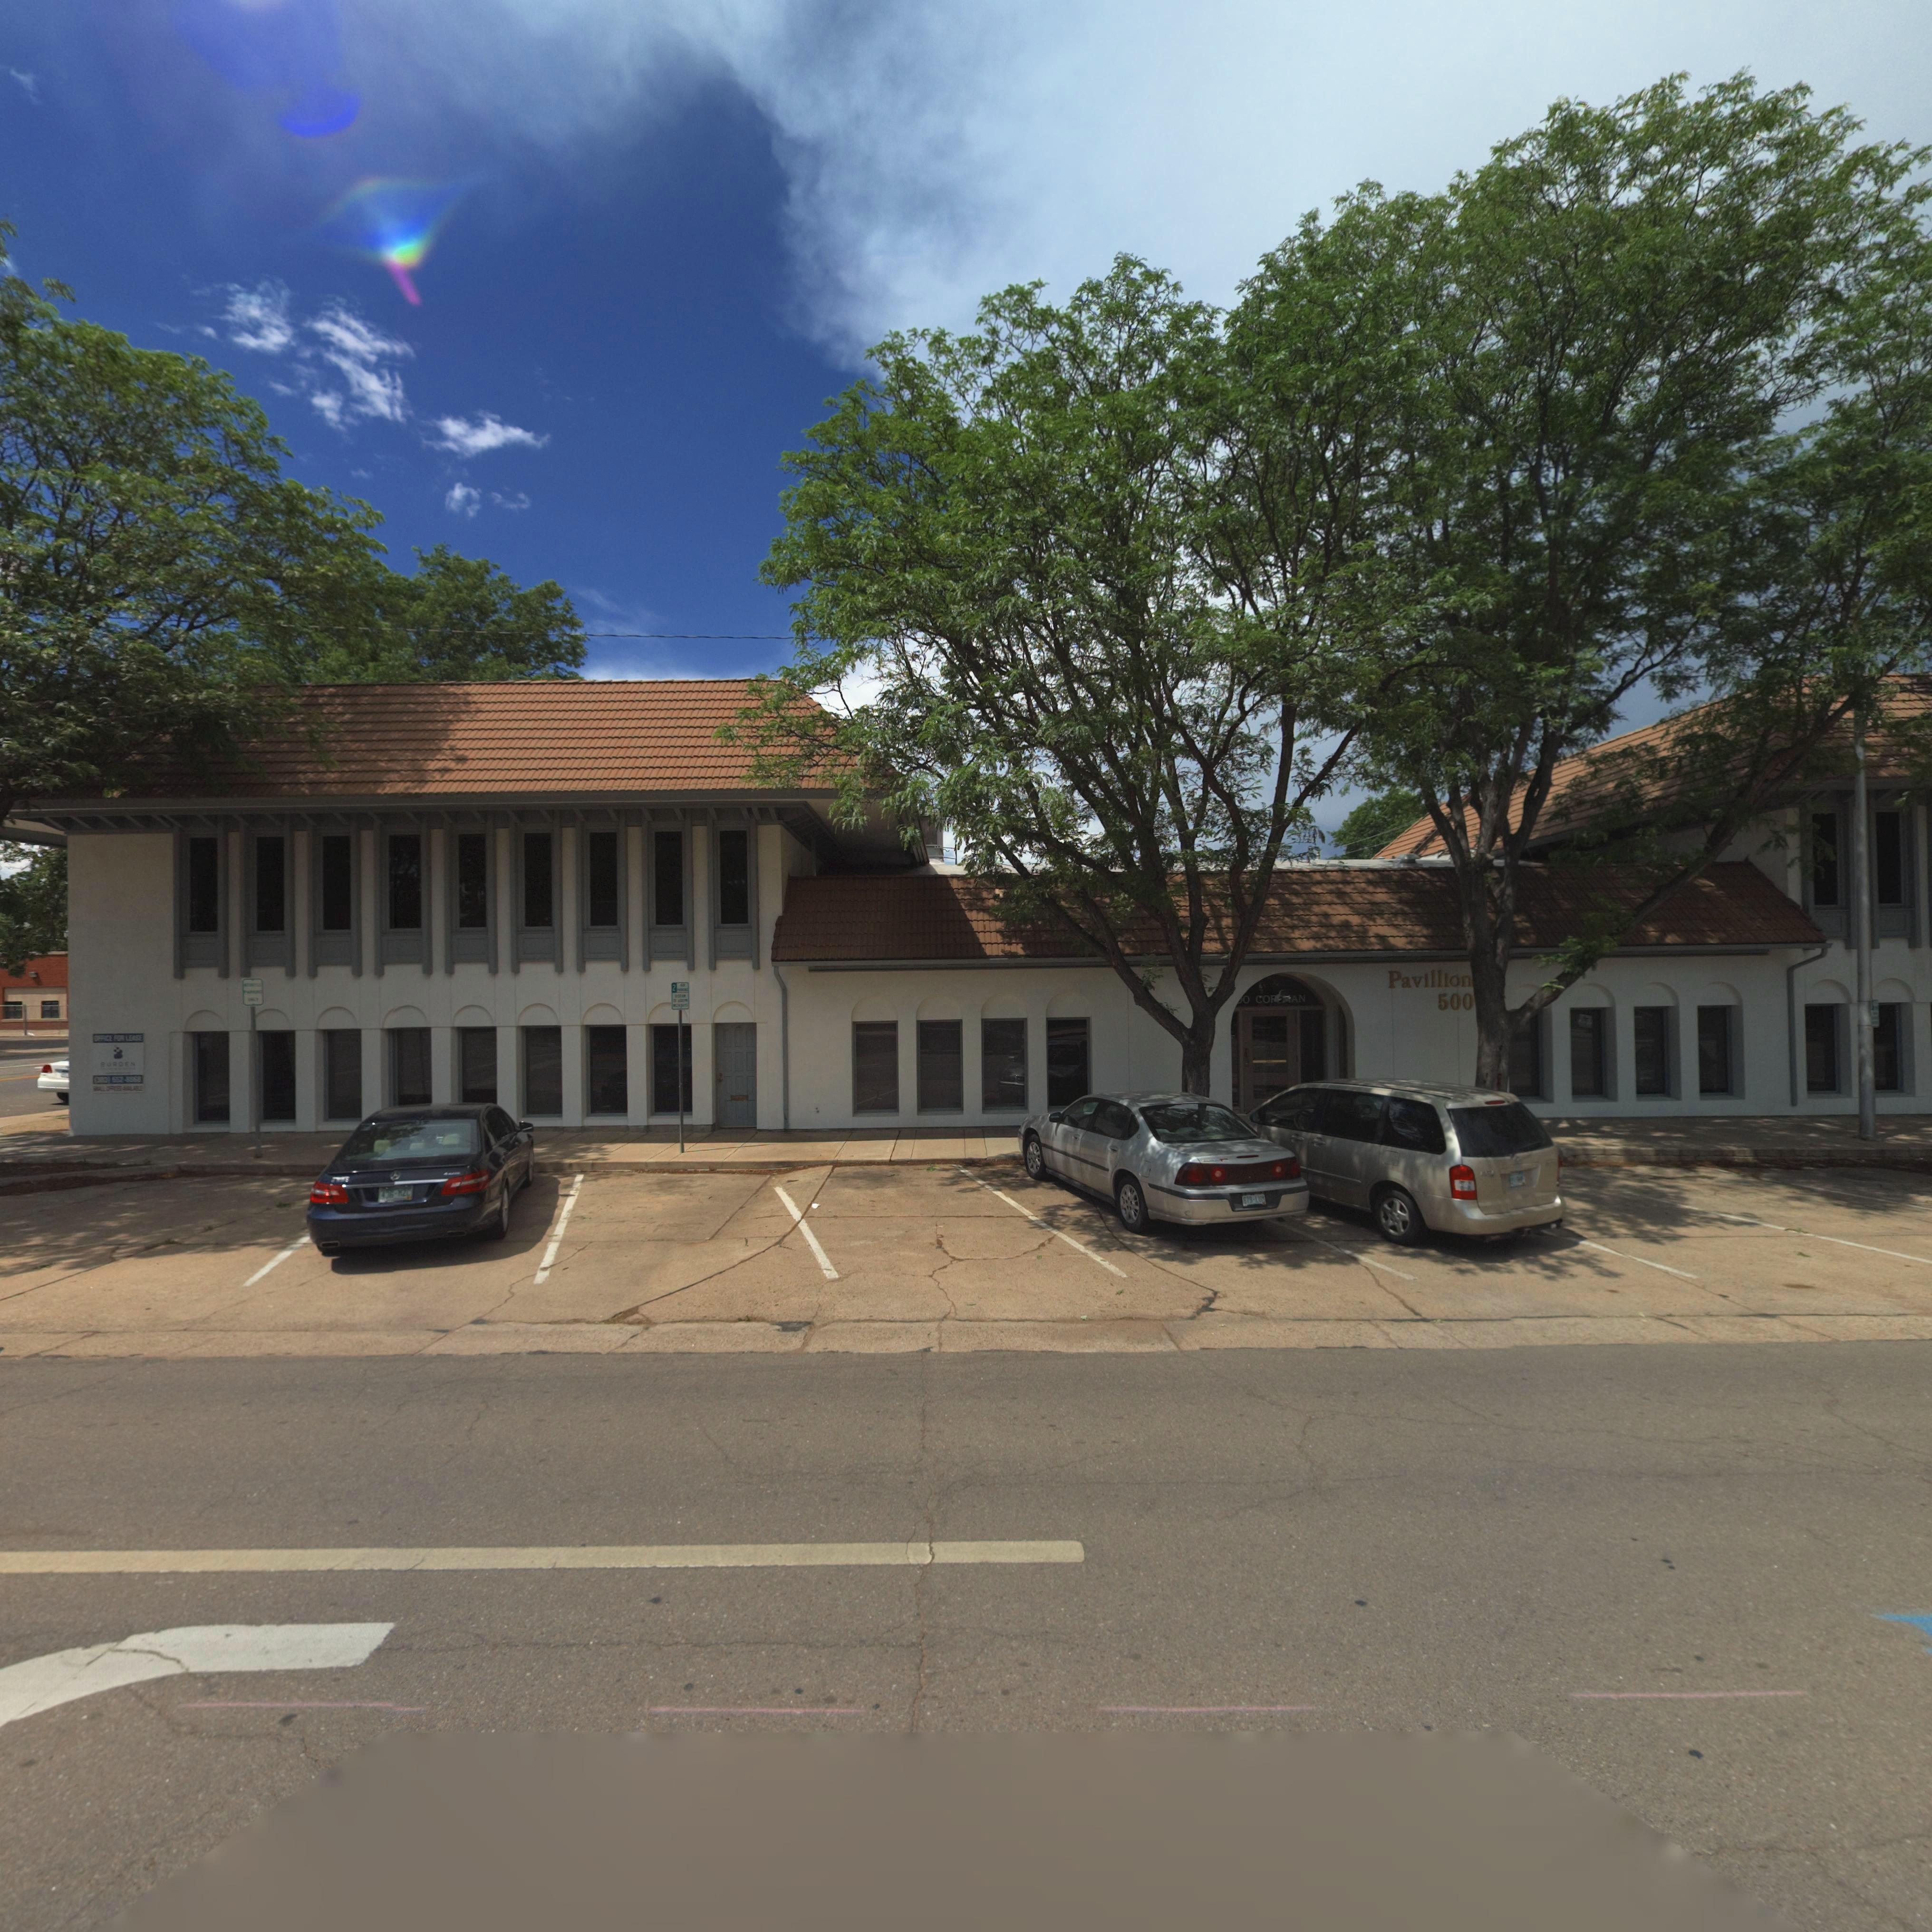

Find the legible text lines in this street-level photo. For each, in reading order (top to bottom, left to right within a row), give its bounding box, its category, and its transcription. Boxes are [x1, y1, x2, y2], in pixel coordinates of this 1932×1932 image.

[1242, 995, 1251, 1004] StreetNumber: 0
[1437, 992, 1475, 1011] StreetNumber: 500